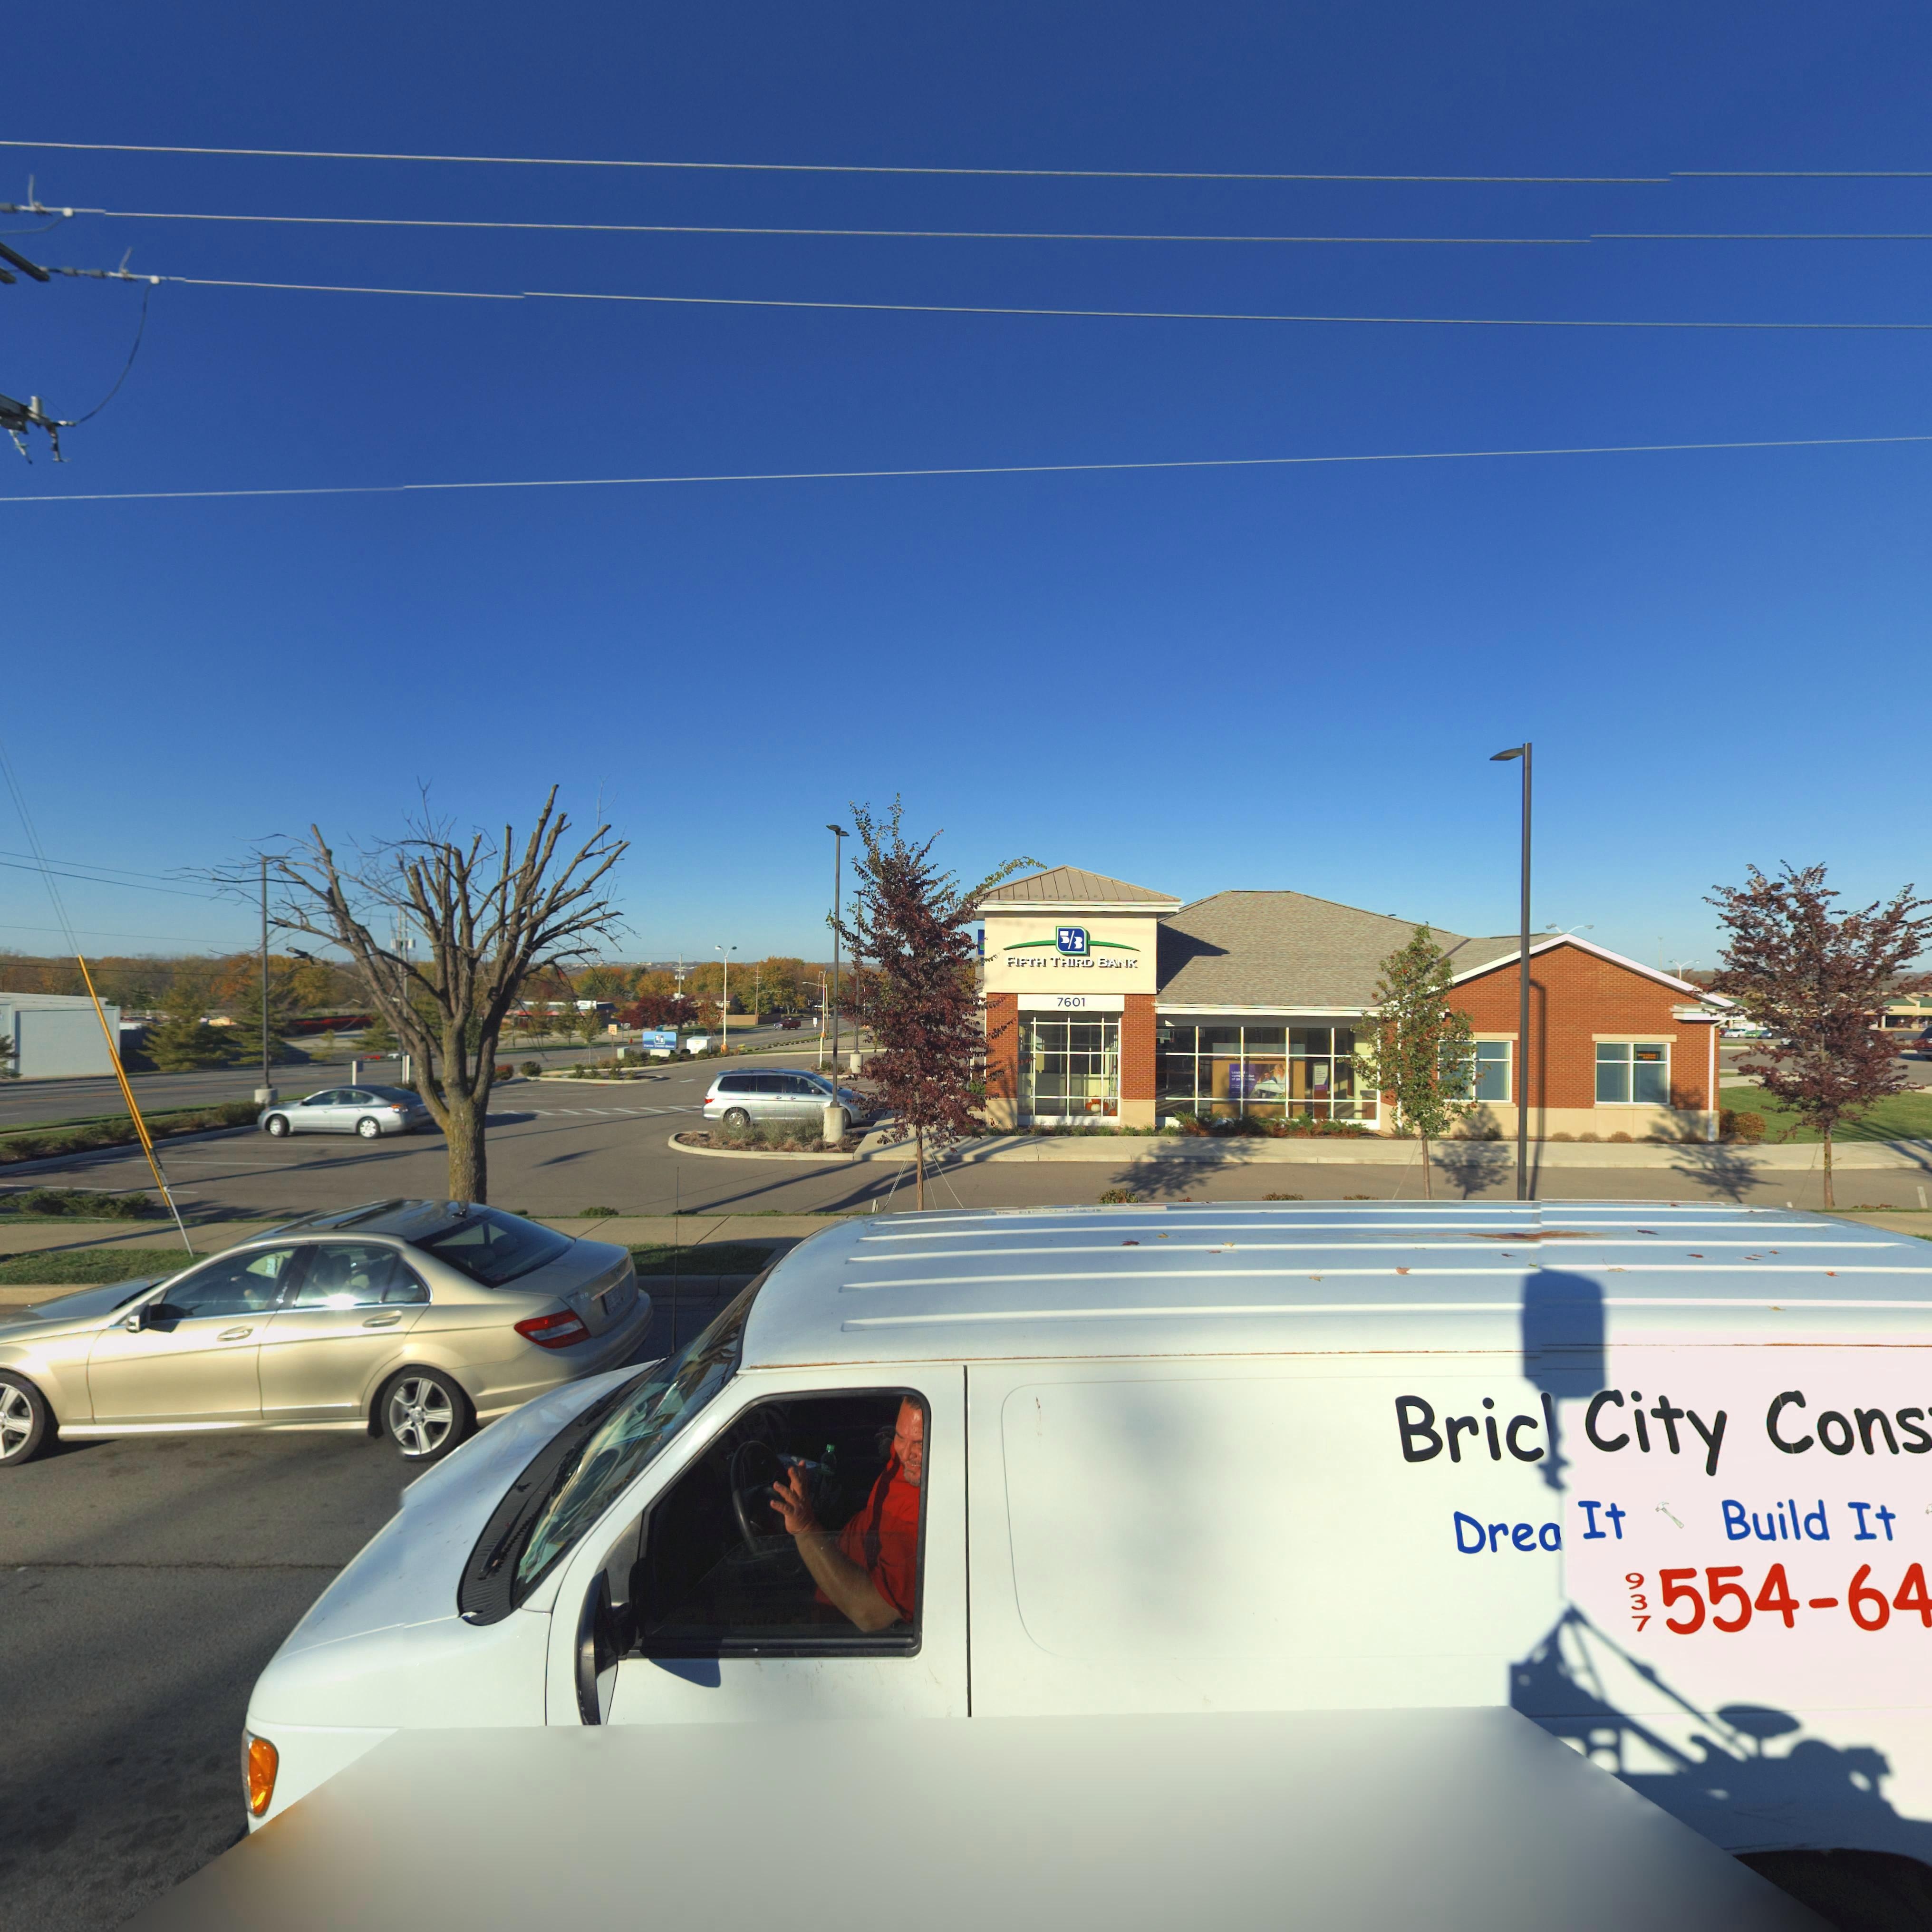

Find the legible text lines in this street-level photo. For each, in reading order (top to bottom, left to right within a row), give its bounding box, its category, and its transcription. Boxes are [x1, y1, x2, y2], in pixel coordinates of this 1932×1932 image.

[1056, 996, 1086, 1008] StreetNumber: 7601